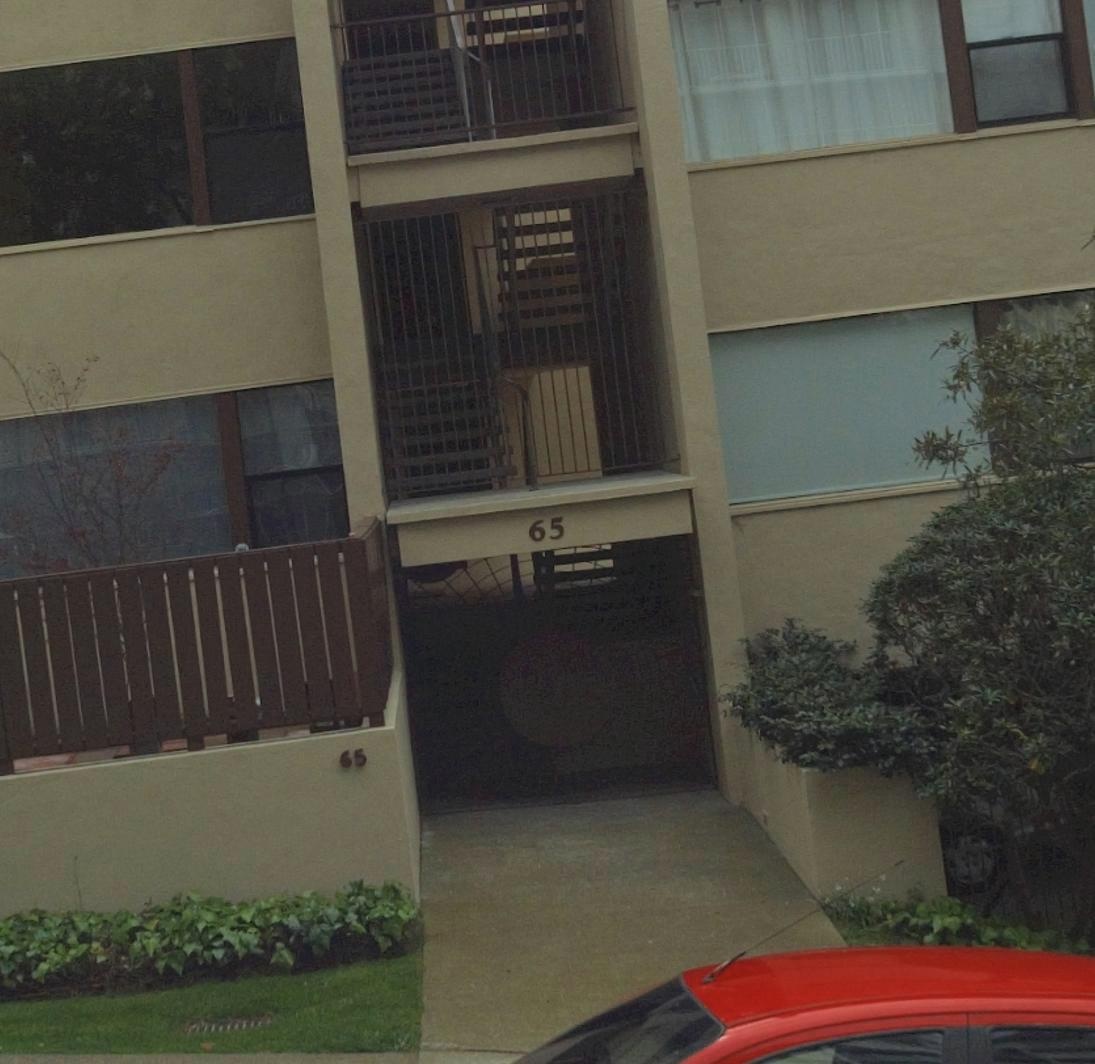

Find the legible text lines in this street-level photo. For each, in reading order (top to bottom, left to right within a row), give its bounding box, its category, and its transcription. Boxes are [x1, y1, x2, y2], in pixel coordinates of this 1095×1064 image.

[526, 514, 566, 545] StreetNumber: 65
[335, 745, 371, 774] StreetNumber: 65